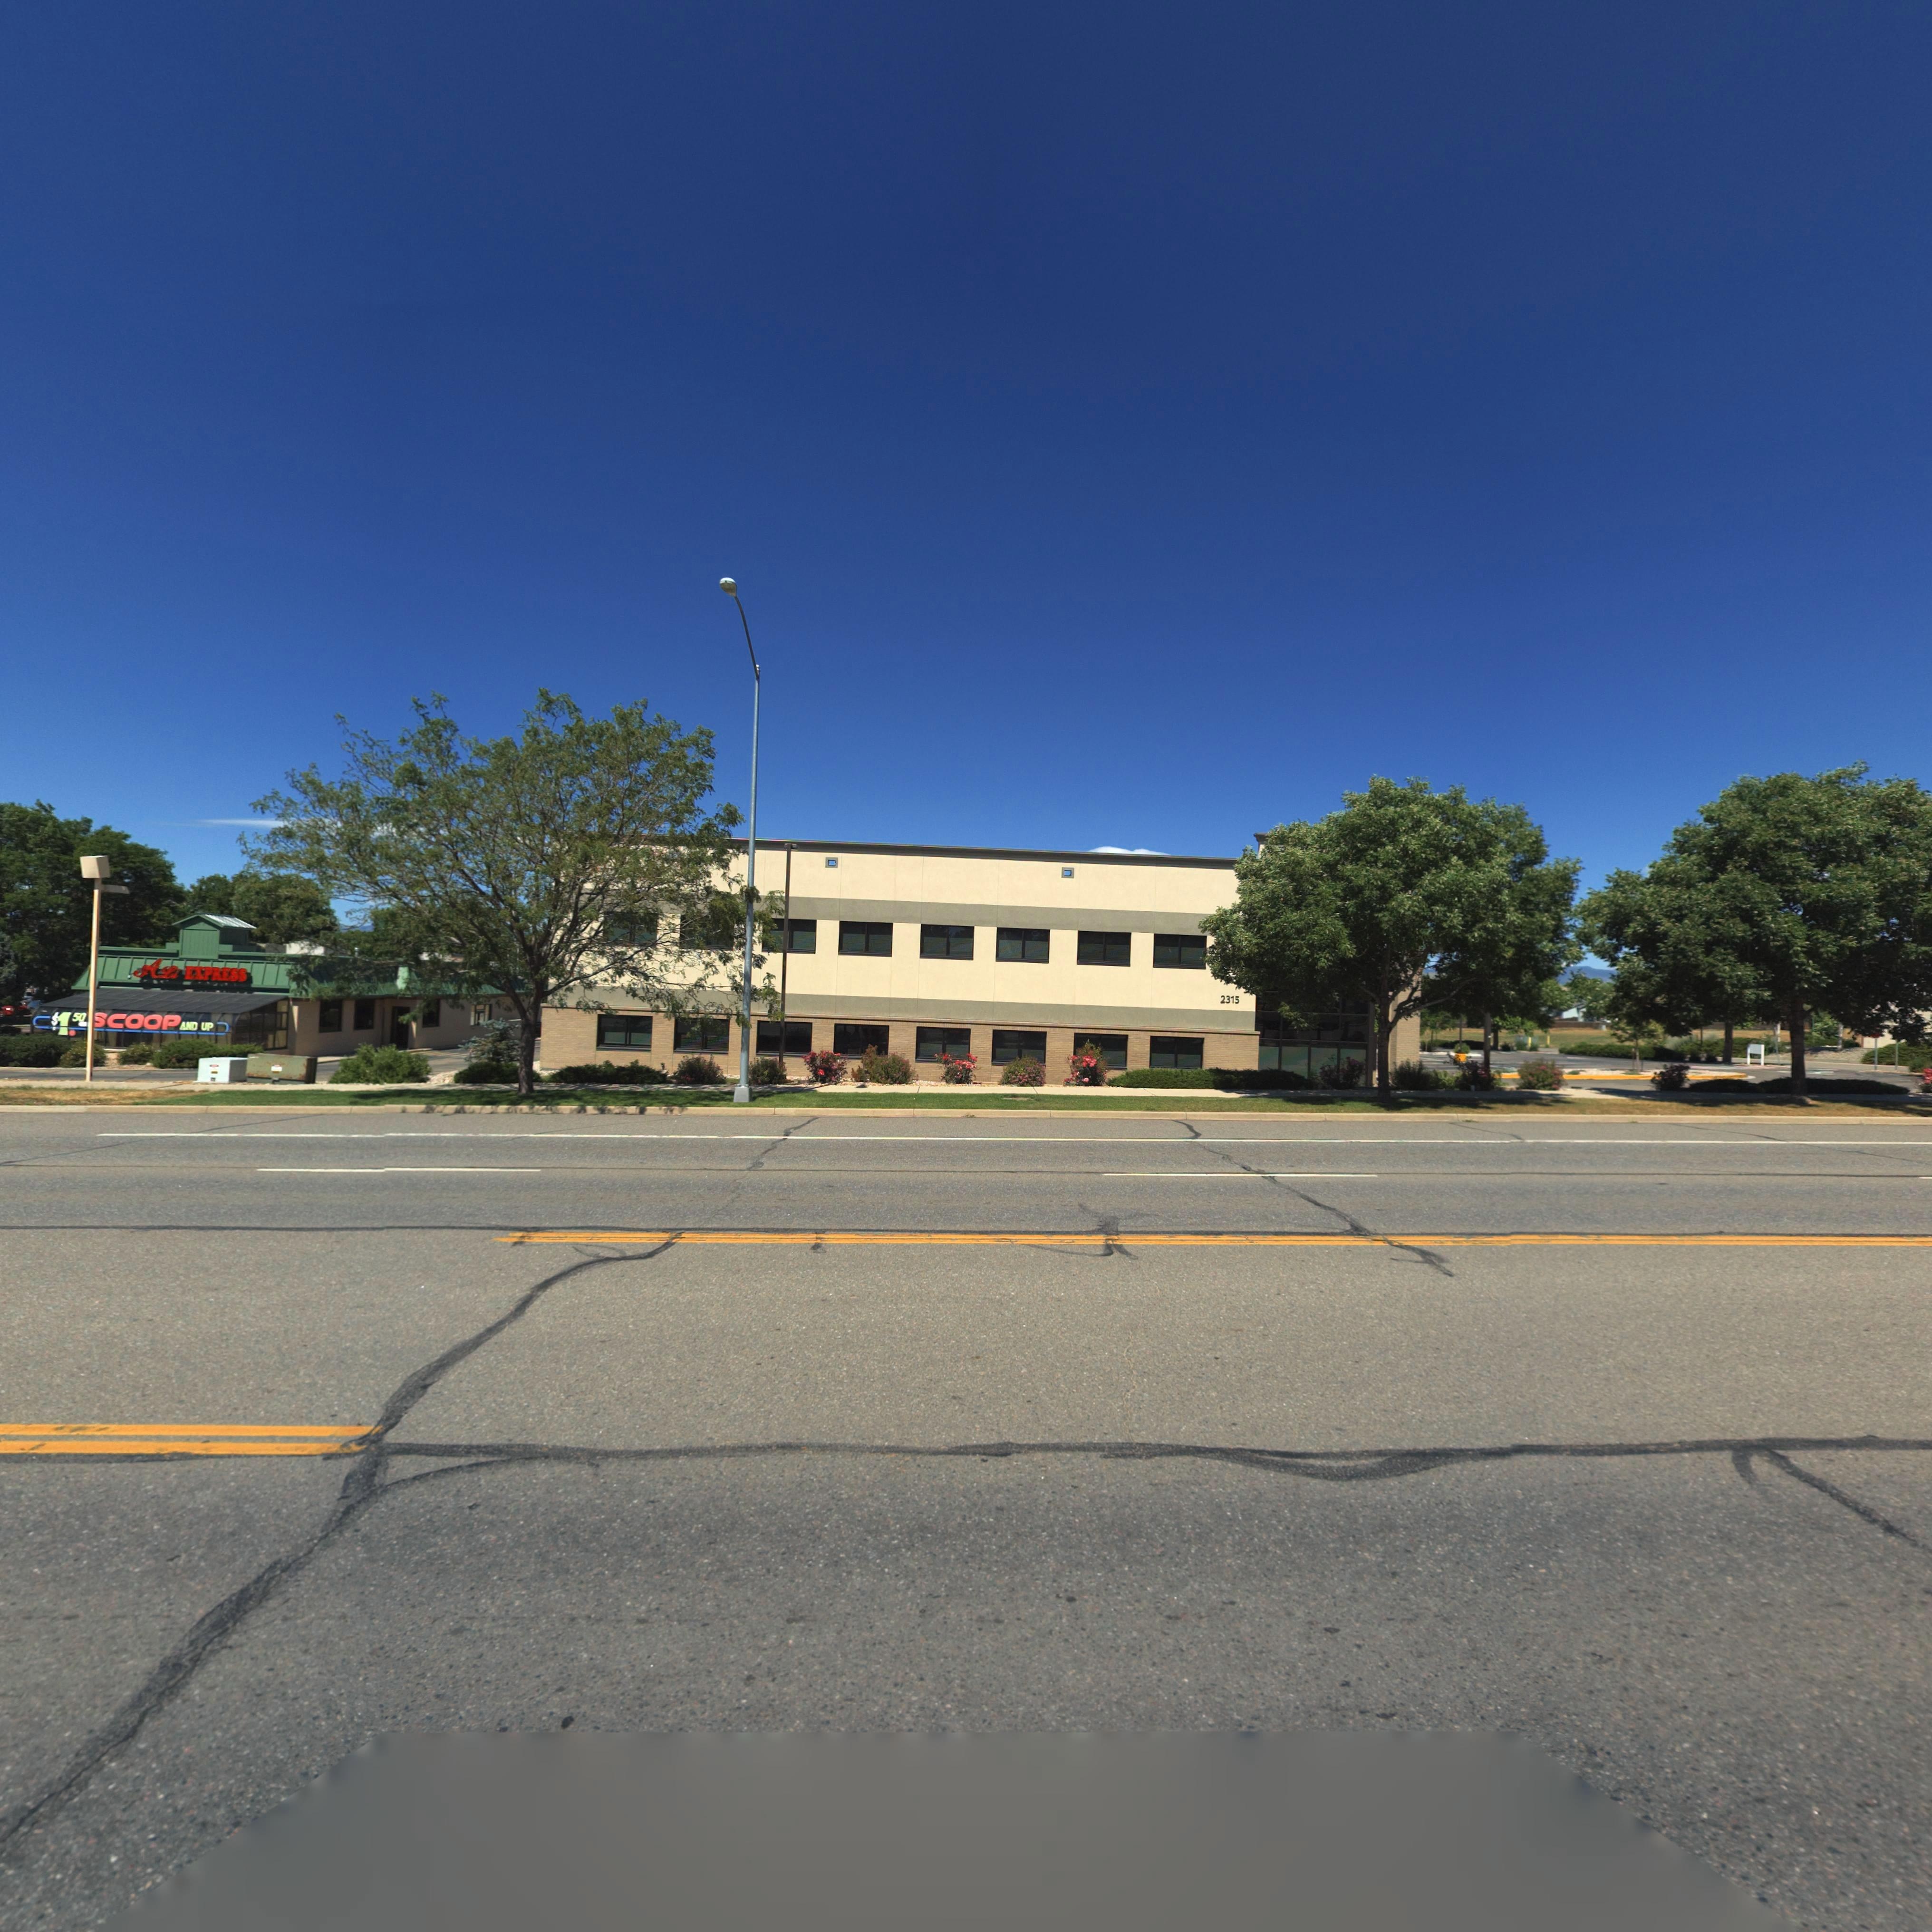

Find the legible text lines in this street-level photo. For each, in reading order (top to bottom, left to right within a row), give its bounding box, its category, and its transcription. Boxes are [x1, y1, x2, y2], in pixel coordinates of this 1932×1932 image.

[132, 957, 181, 979] BusinessName: ALi
[184, 965, 248, 982] BusinessName: EXPRESS
[1220, 994, 1239, 1004] StreetNumber: 2315